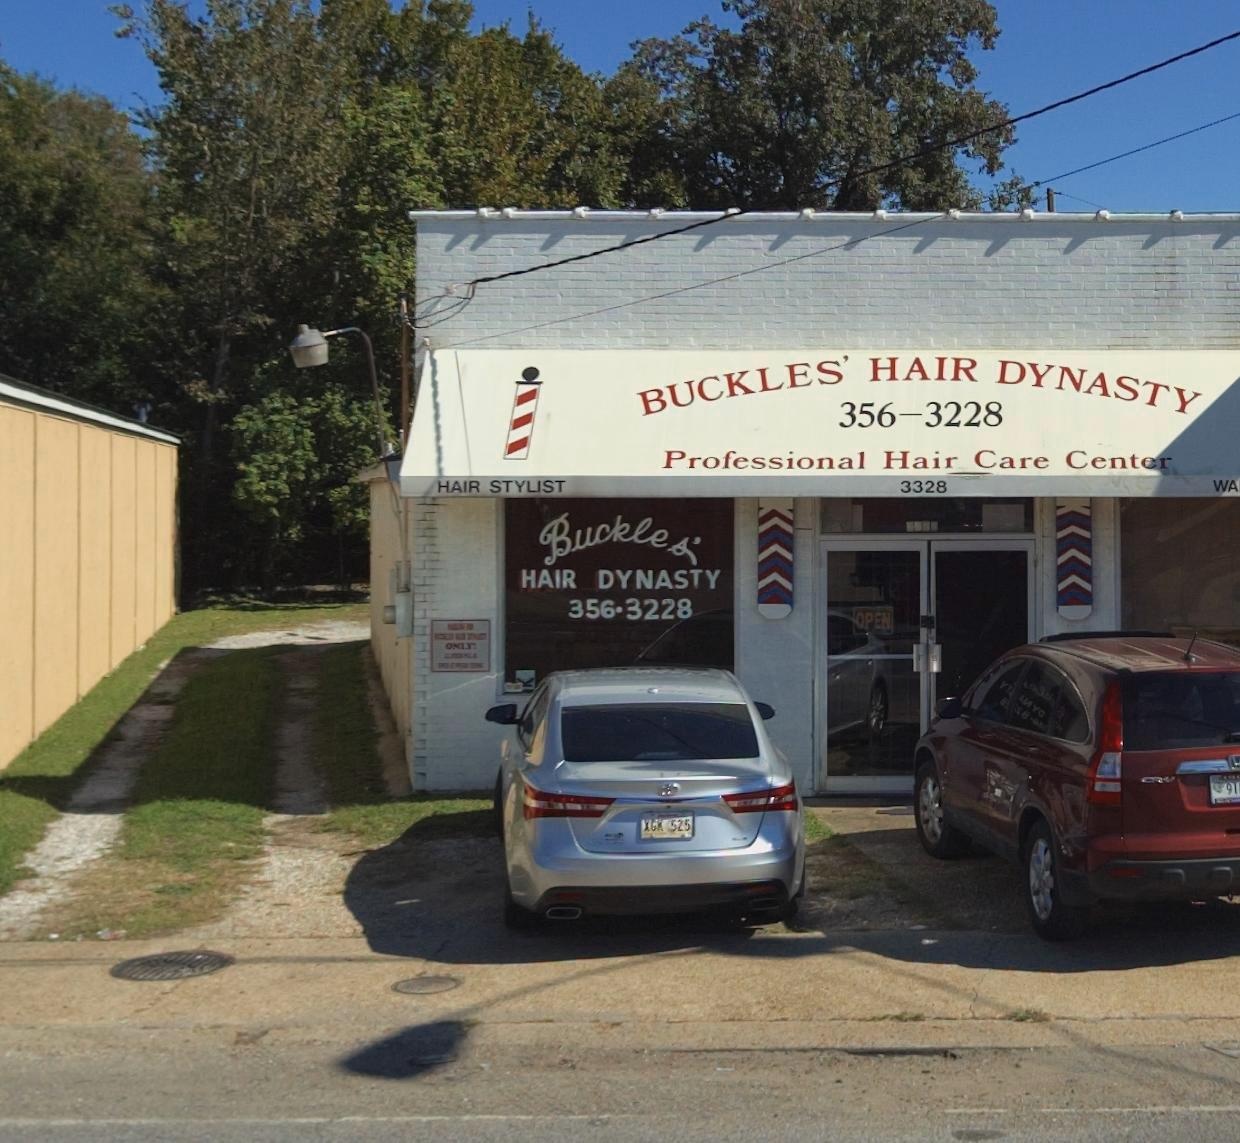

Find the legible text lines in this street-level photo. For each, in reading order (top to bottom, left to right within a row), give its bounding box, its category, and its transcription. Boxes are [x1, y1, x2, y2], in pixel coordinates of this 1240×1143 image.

[630, 351, 1207, 421] BusinessName: BUCKLES' HAIR DYNASTY
[836, 397, 1009, 431] None: 356-3228
[658, 446, 1179, 472] None: Professional Hair Care Center
[436, 478, 569, 496] None: HAIR STYLIST
[898, 478, 950, 495] StreetNumber: 3328
[1210, 478, 1239, 495] None: WA
[535, 509, 705, 568] BusinessName: Buckles'
[519, 567, 724, 592] BusinessName: HAIR DYNASTY
[565, 595, 696, 623] None: 356*3228
[854, 610, 892, 631] None: OPEN
[443, 641, 478, 652] None: ONLY
[995, 677, 1049, 722] None: Y****Y*
[1138, 774, 1177, 785] None: CRV
[1222, 779, 1239, 798] None: 97
[642, 816, 695, 834] None: XGK525